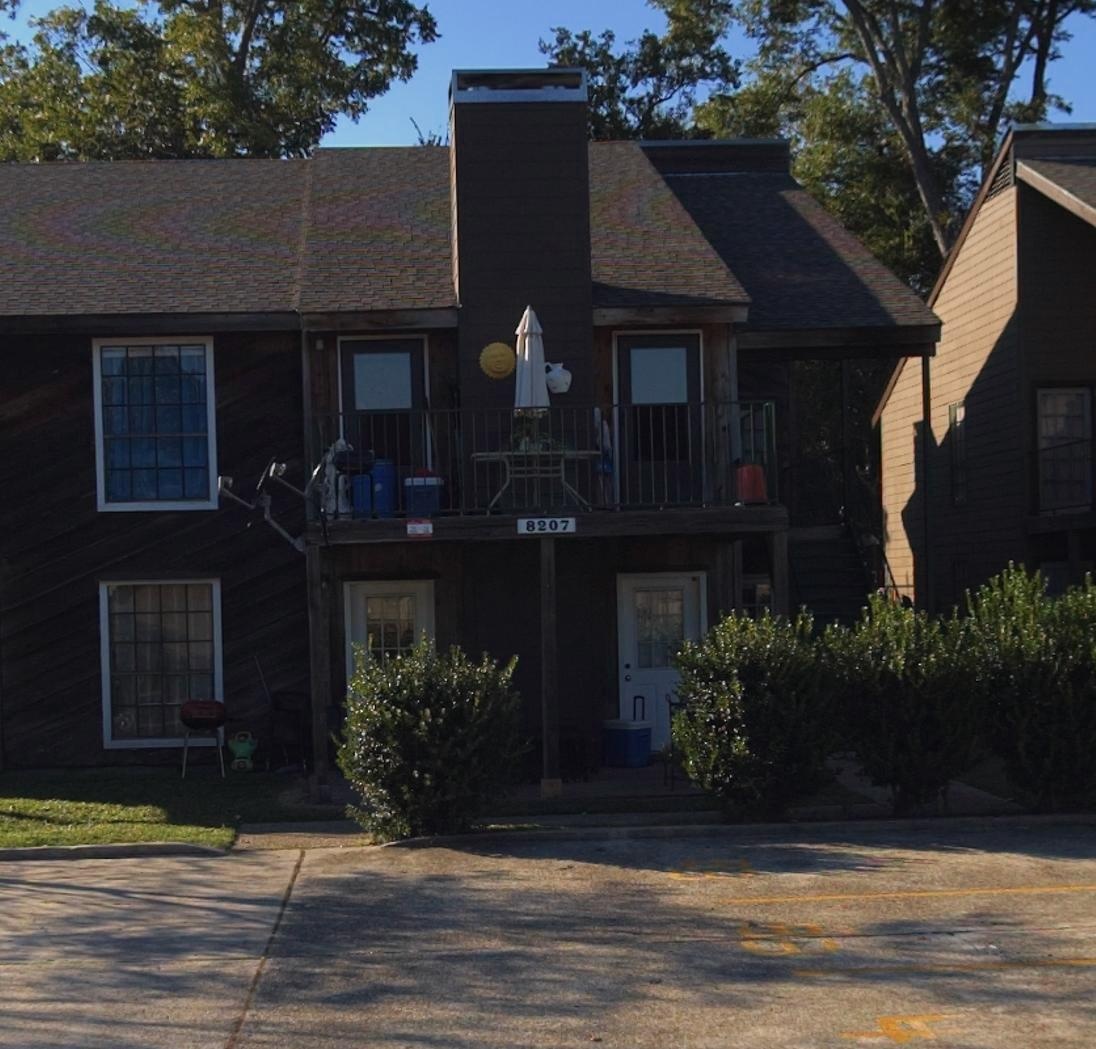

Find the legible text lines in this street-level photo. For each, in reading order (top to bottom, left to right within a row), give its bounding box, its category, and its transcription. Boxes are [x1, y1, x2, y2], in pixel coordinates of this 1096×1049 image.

[525, 520, 570, 532] StreetNumber: 8207